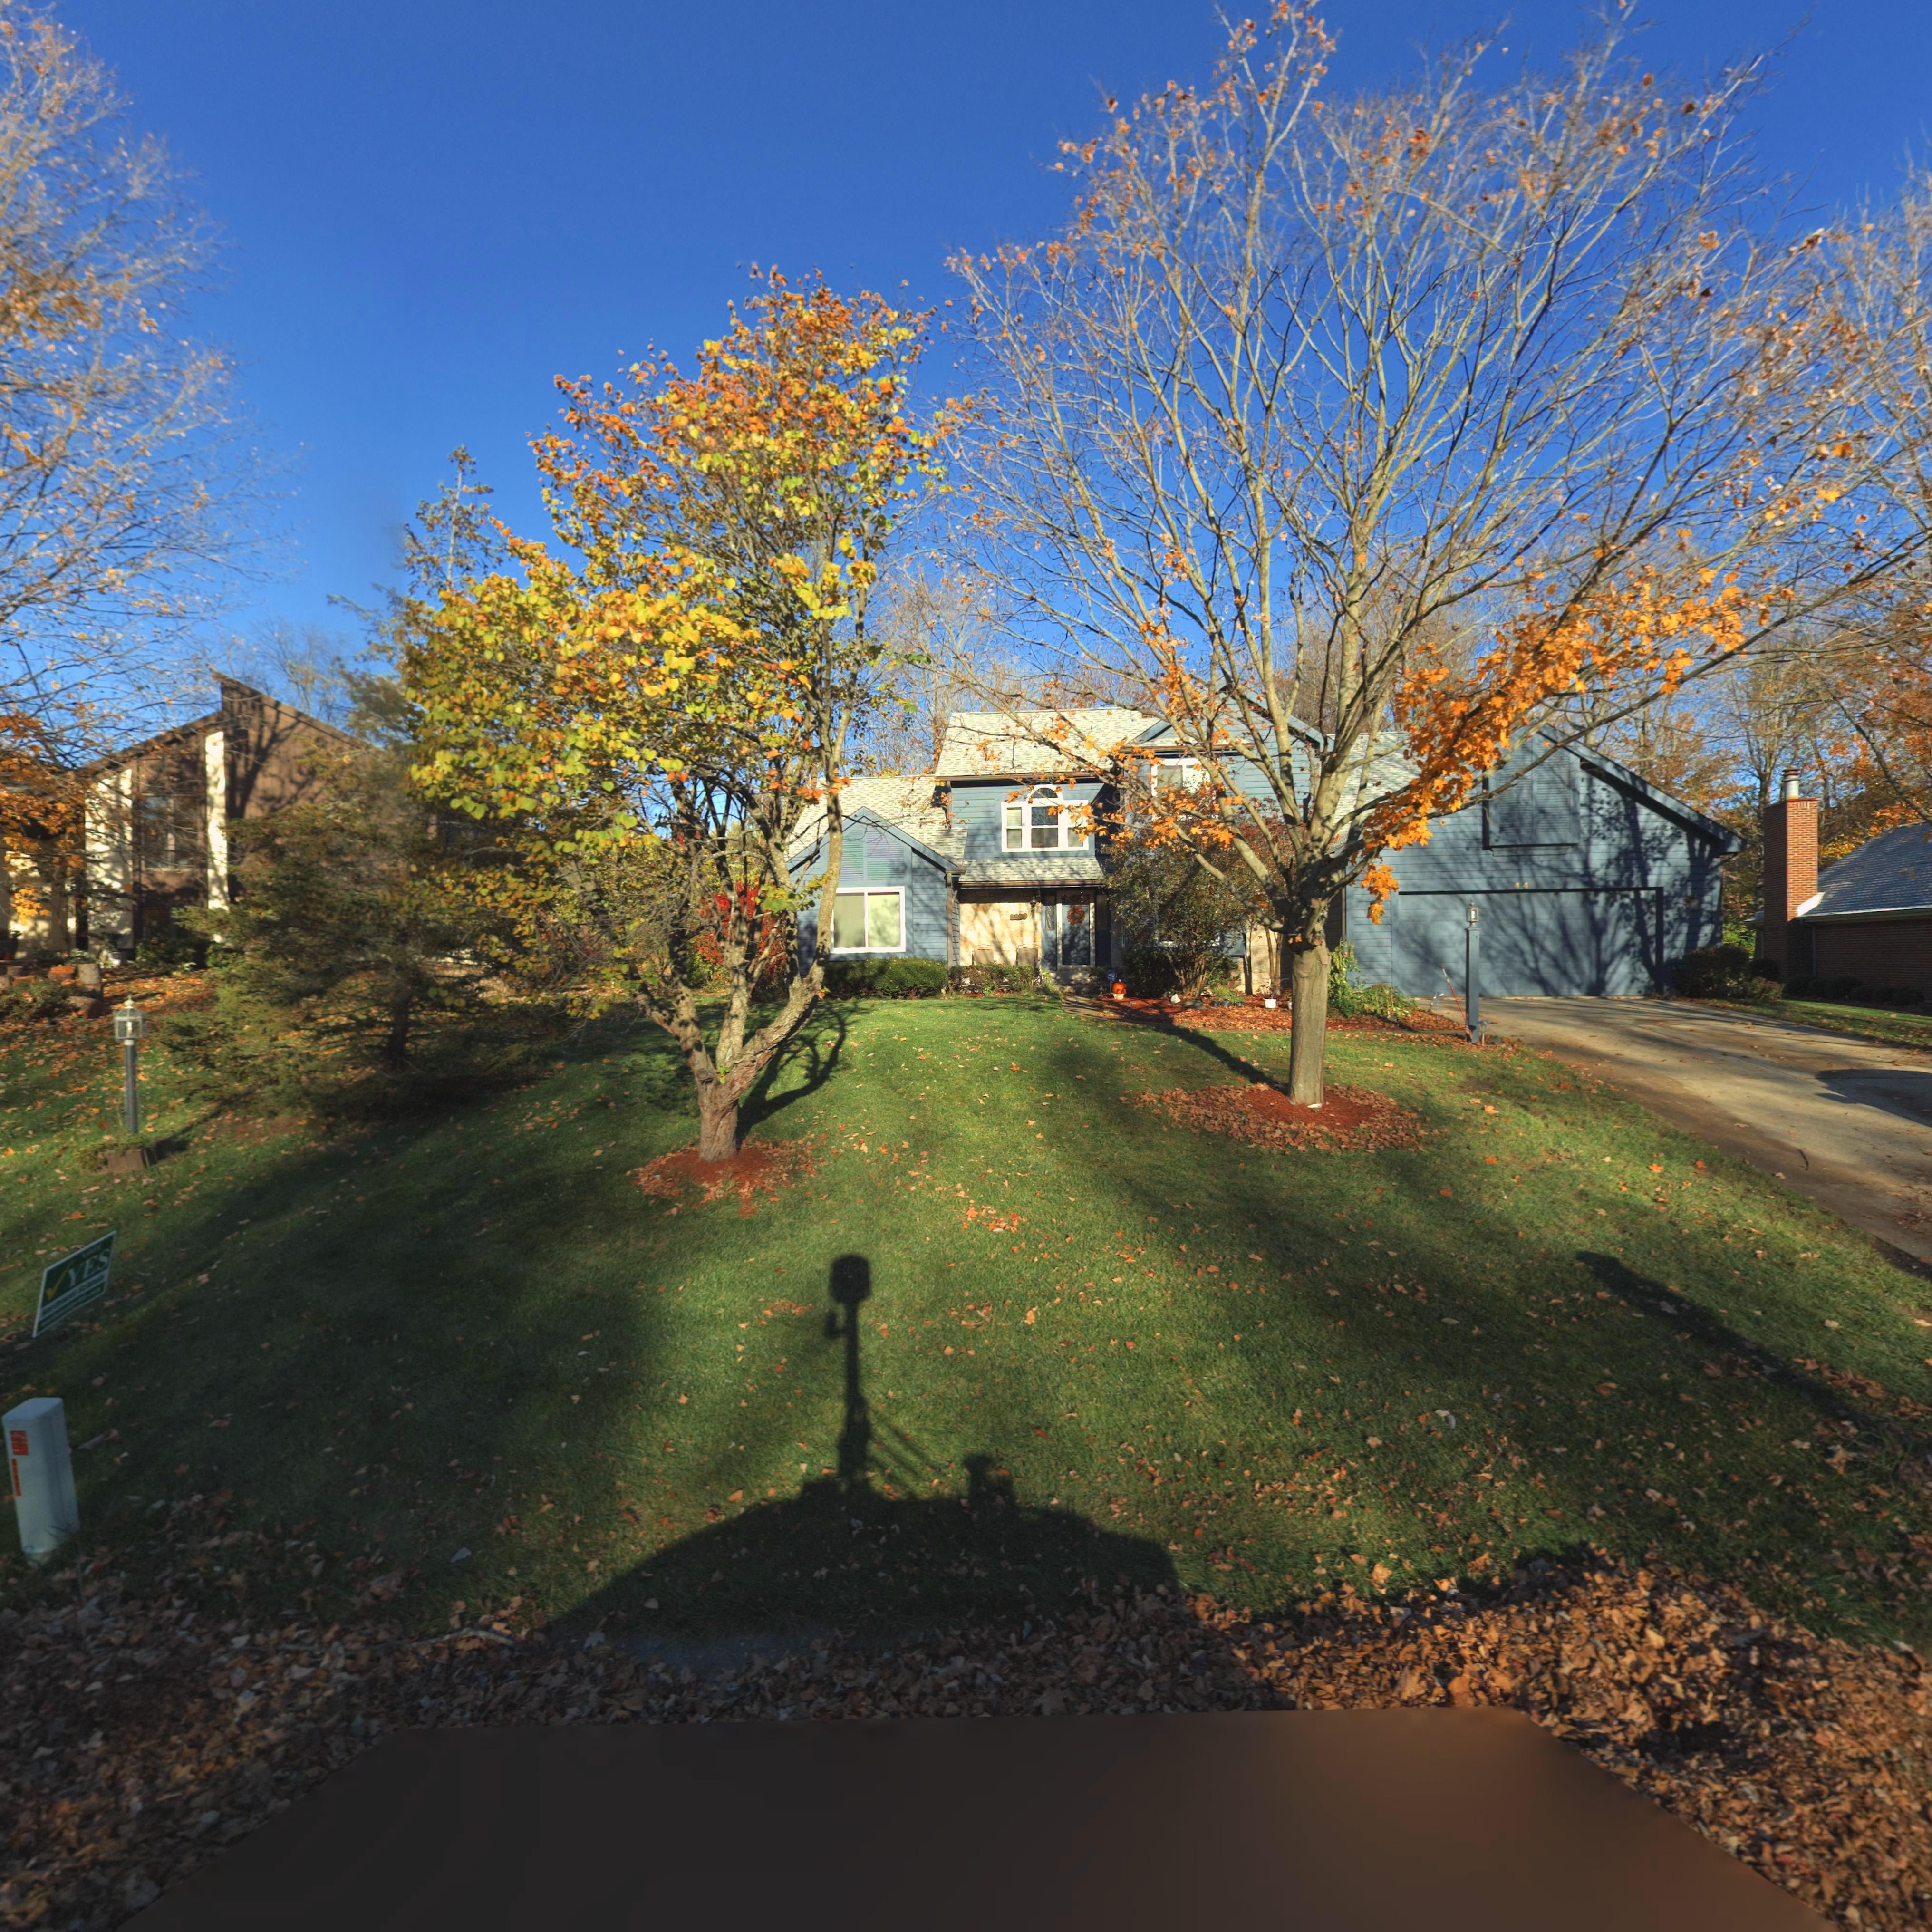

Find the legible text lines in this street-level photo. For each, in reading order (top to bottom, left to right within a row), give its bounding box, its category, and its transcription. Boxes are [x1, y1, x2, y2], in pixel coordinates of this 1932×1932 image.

[1512, 882, 1545, 890] StreetNumber: 44**